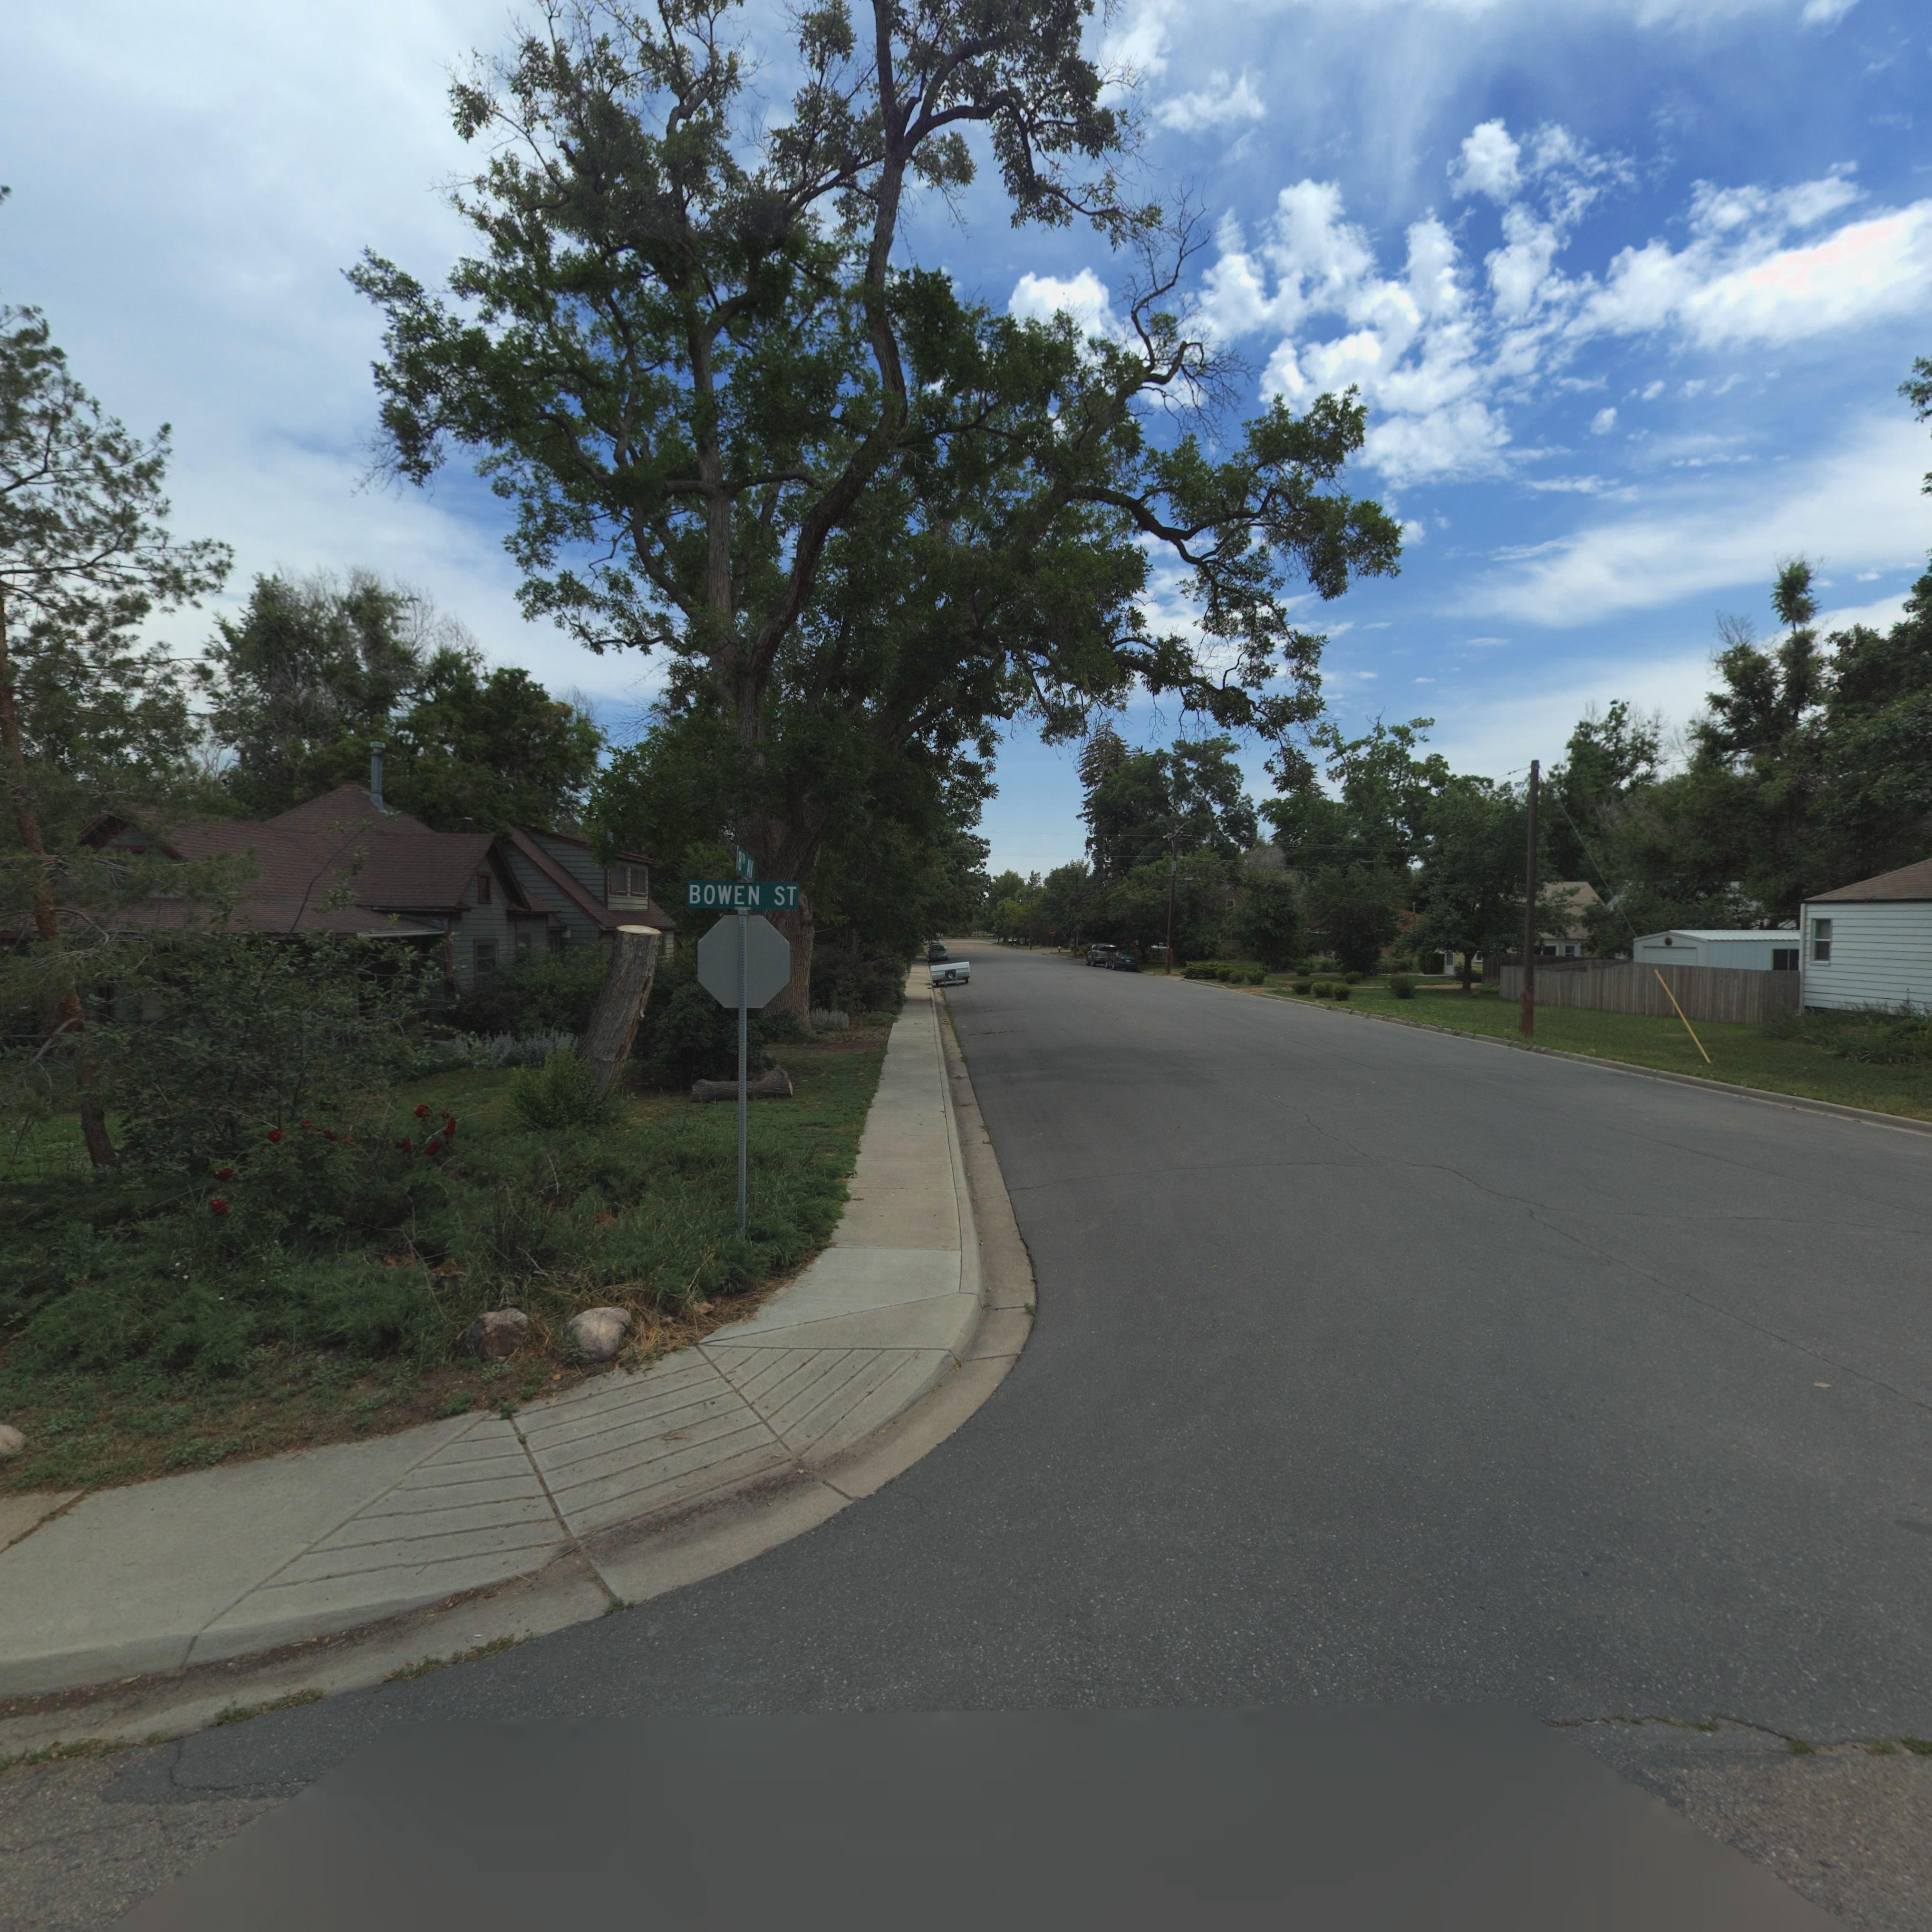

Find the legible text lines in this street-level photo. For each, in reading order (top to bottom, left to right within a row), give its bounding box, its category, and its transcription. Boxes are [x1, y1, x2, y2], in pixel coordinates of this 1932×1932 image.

[738, 850, 753, 879] StreetName: 8TH AV
[689, 885, 796, 905] StreetName: BOWEN ST